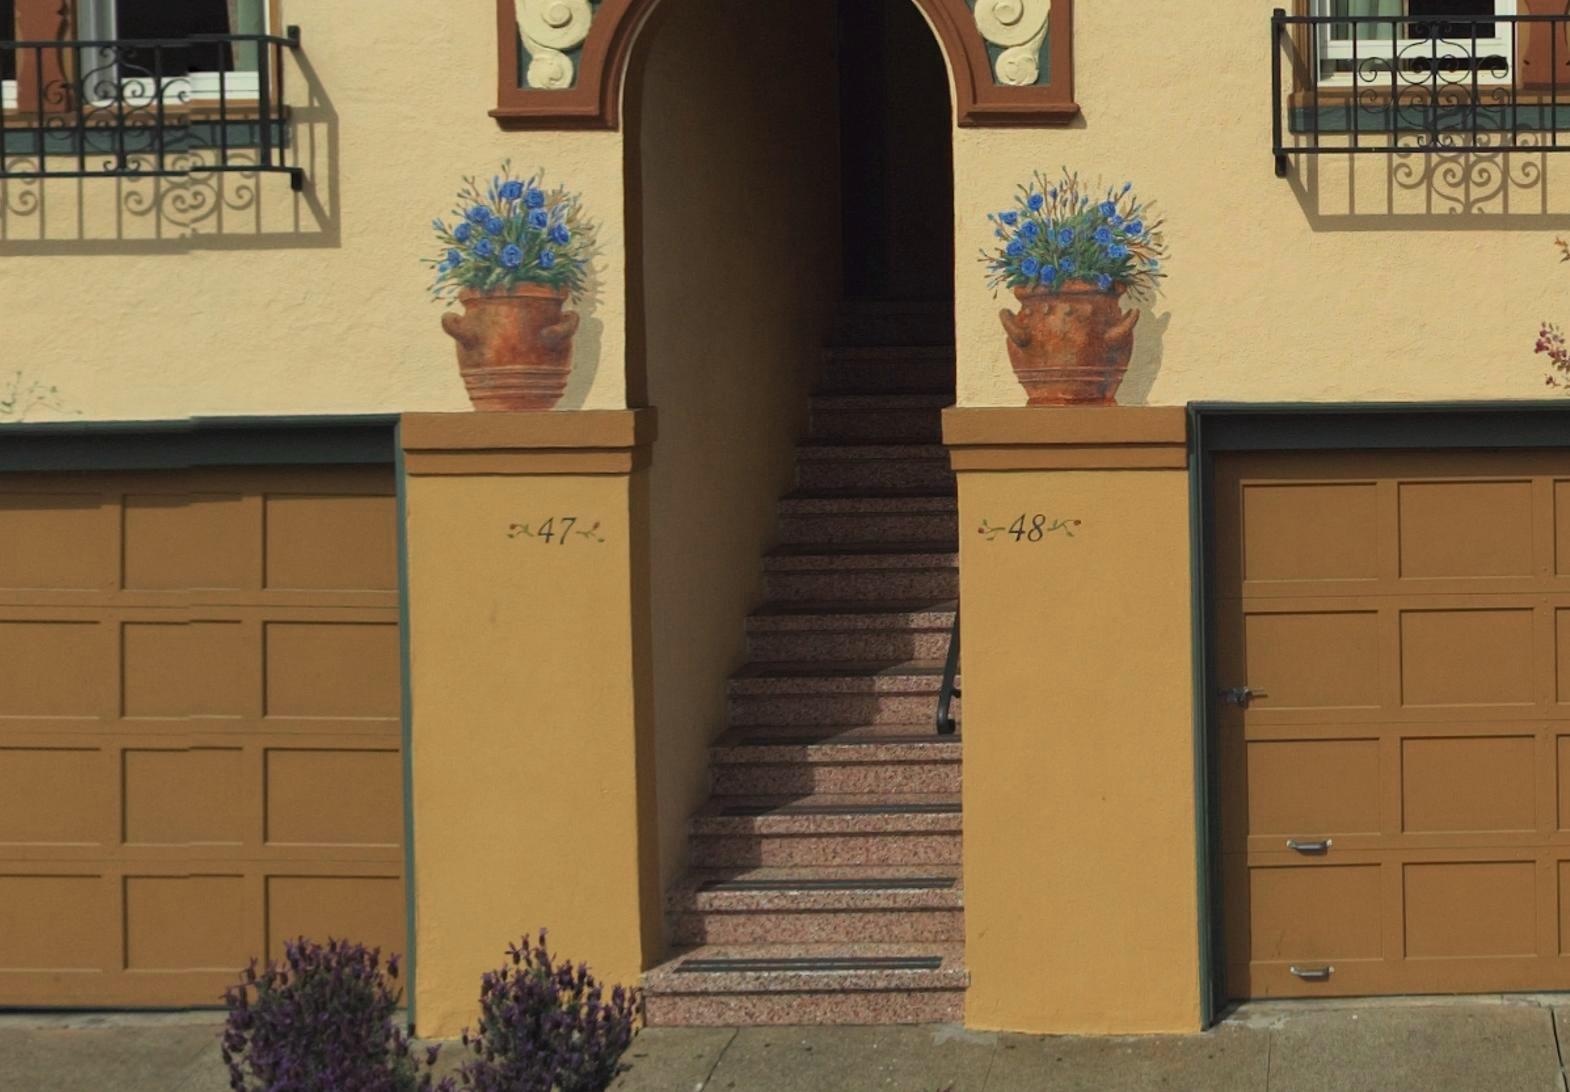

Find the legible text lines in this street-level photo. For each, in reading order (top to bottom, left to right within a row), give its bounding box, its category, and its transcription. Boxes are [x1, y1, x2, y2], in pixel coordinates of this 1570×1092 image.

[537, 516, 577, 546] StreetNumber: 47
[1007, 513, 1047, 543] StreetNumber: 48